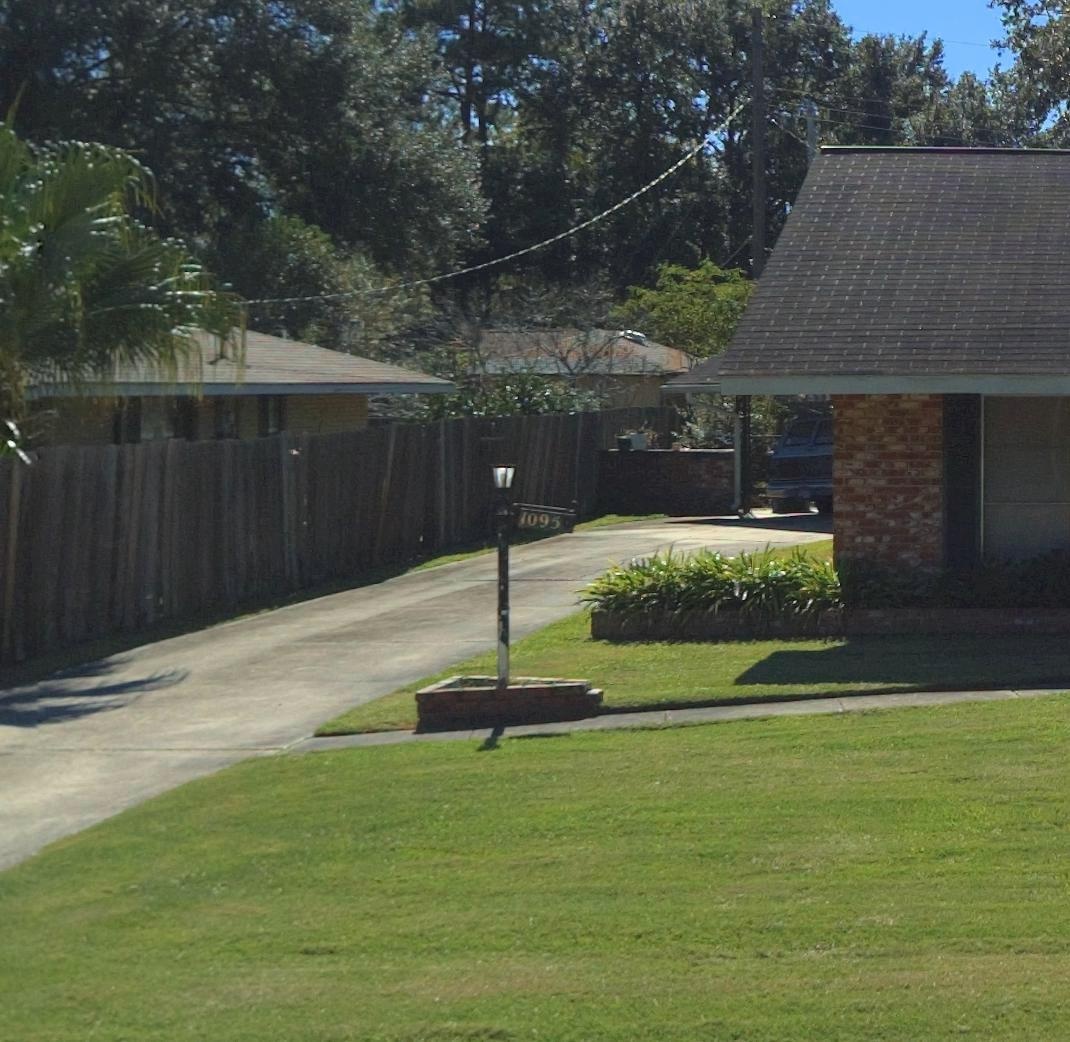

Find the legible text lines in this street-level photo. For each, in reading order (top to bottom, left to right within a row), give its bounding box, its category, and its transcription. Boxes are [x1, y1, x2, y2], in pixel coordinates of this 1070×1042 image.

[517, 509, 564, 532] StreetNumber: 1095